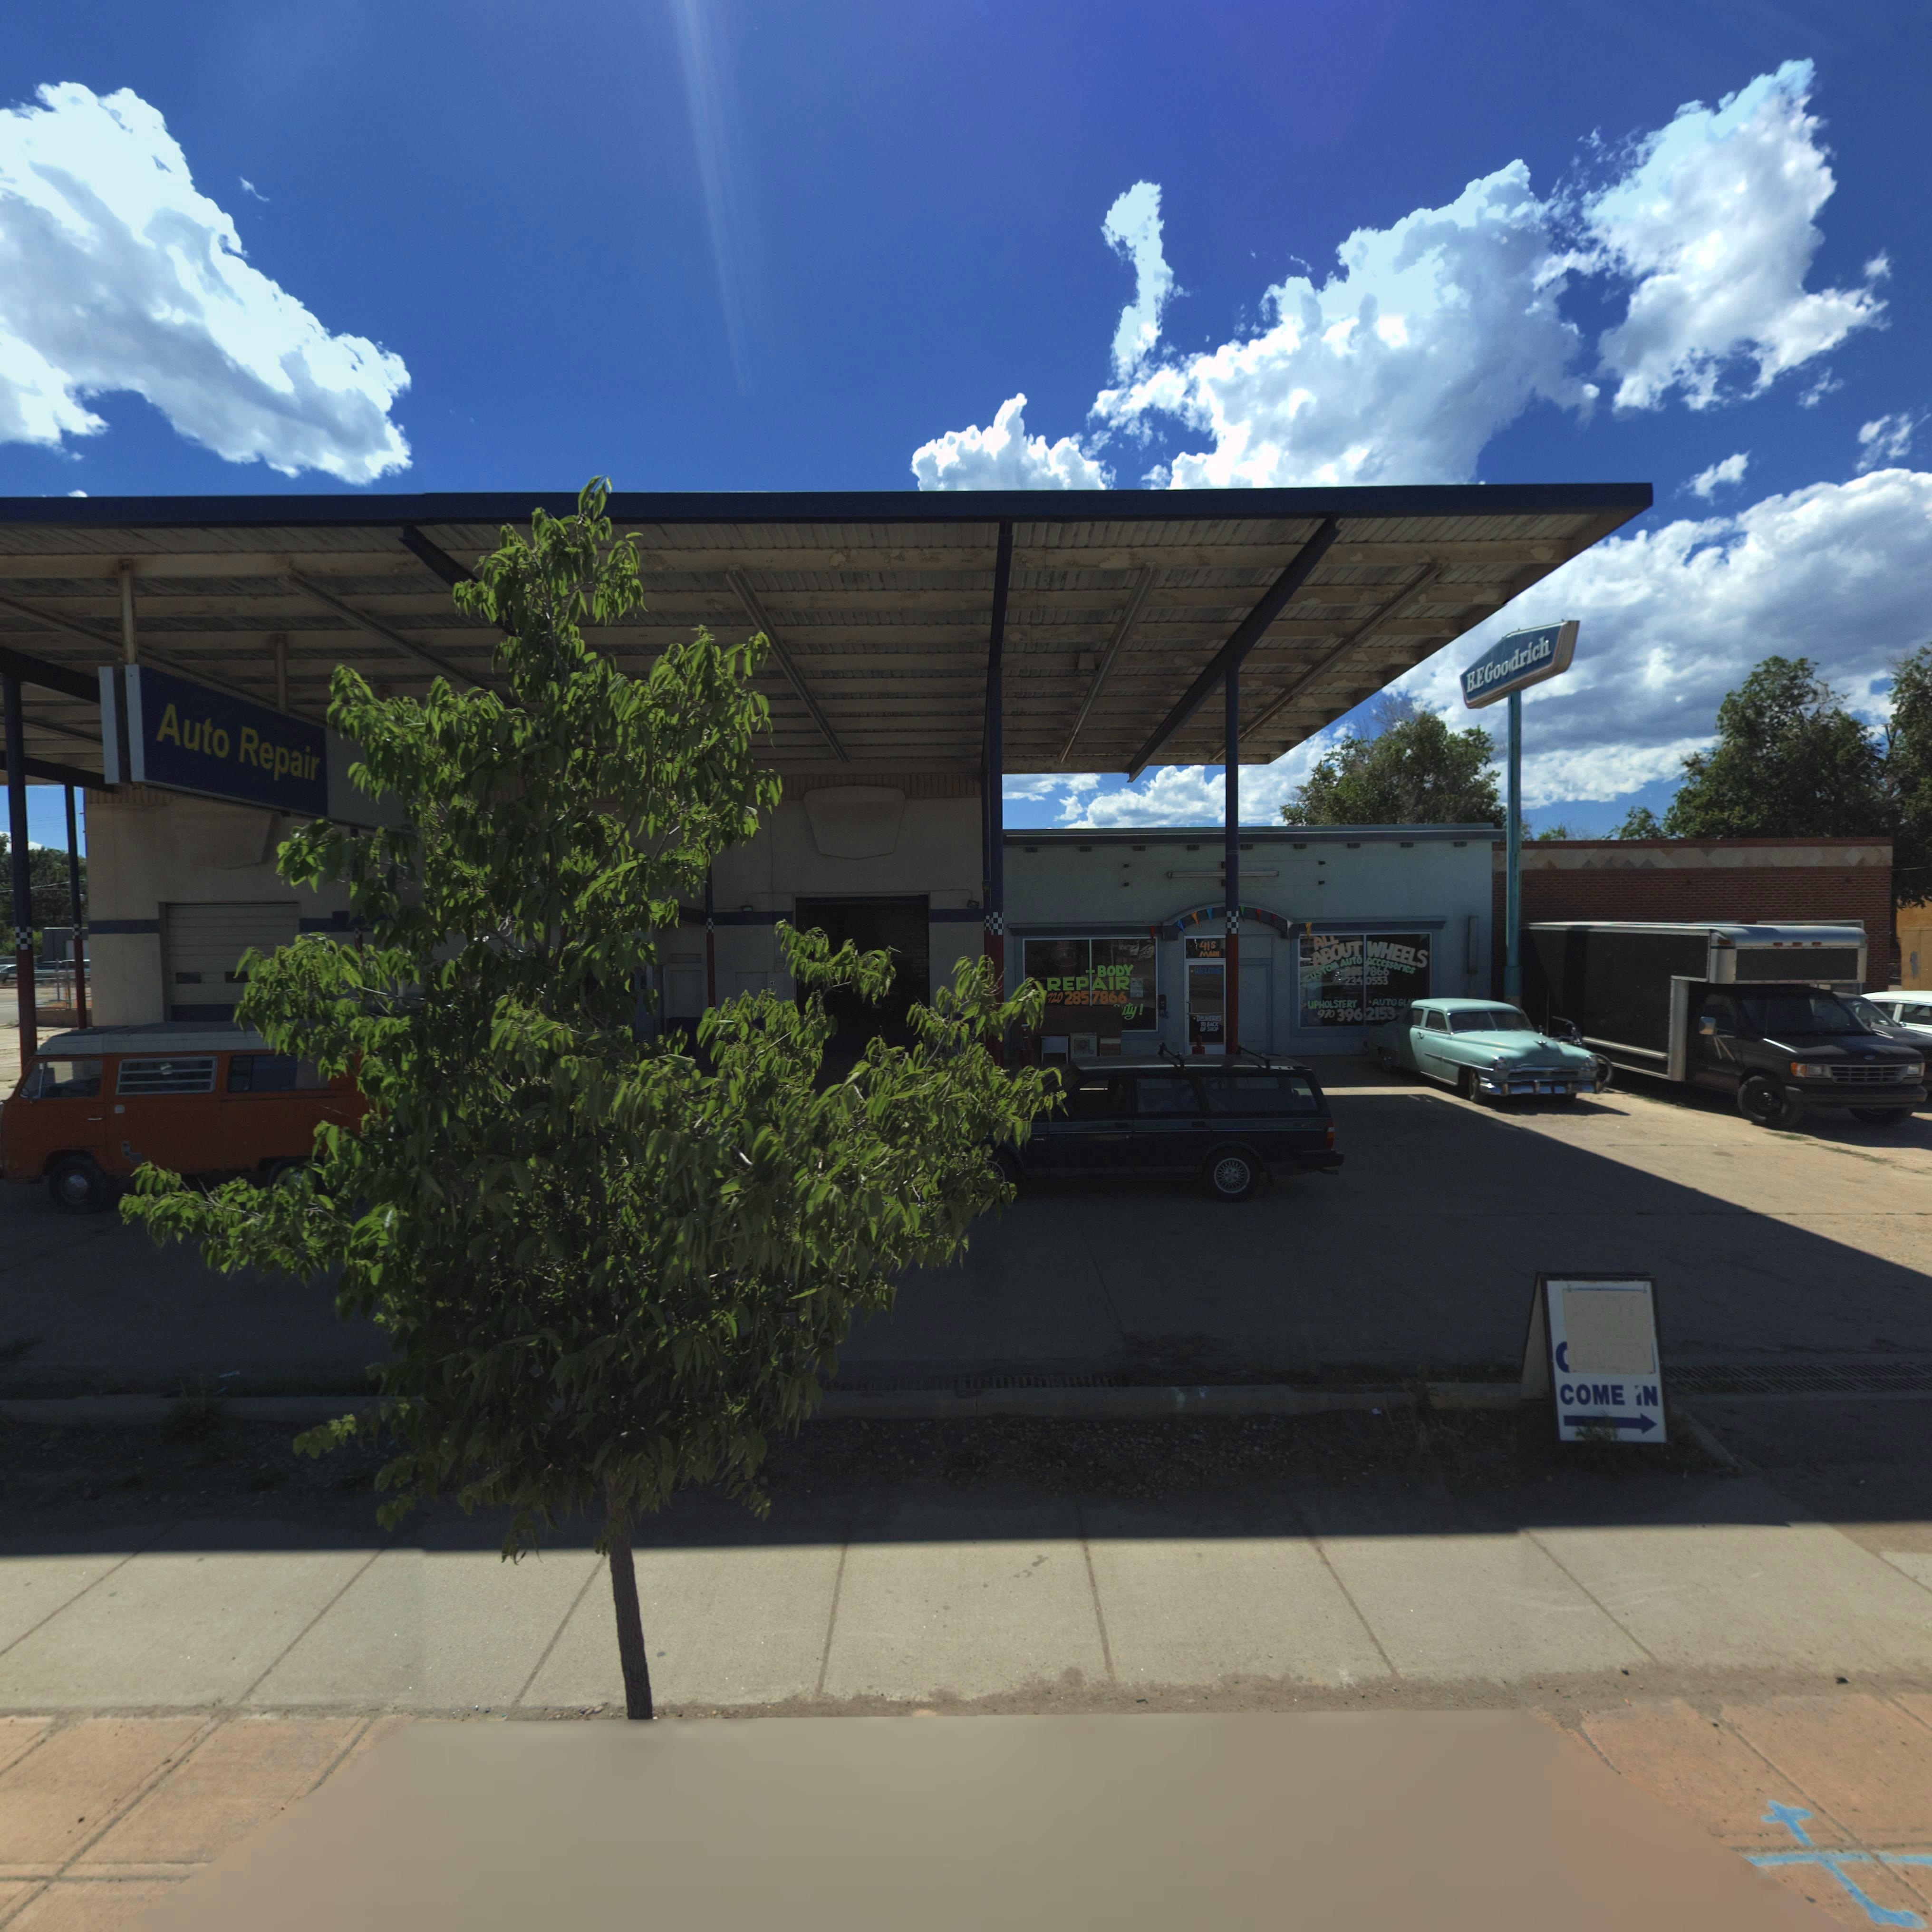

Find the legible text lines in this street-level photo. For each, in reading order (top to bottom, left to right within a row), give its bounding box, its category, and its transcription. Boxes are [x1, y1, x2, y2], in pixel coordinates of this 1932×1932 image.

[1198, 940, 1210, 951] StreetNumber: 41
[1198, 950, 1219, 957] StreetName: MAIN
[1210, 940, 1216, 949] StreetName: S
[1312, 935, 1339, 951] BusinessName: ALL
[1312, 940, 1429, 970] BusinessName: ABOUT WHEELS
[1302, 956, 1416, 984] BusinessName: CUSTOM AUTO *CCeSSOrieS